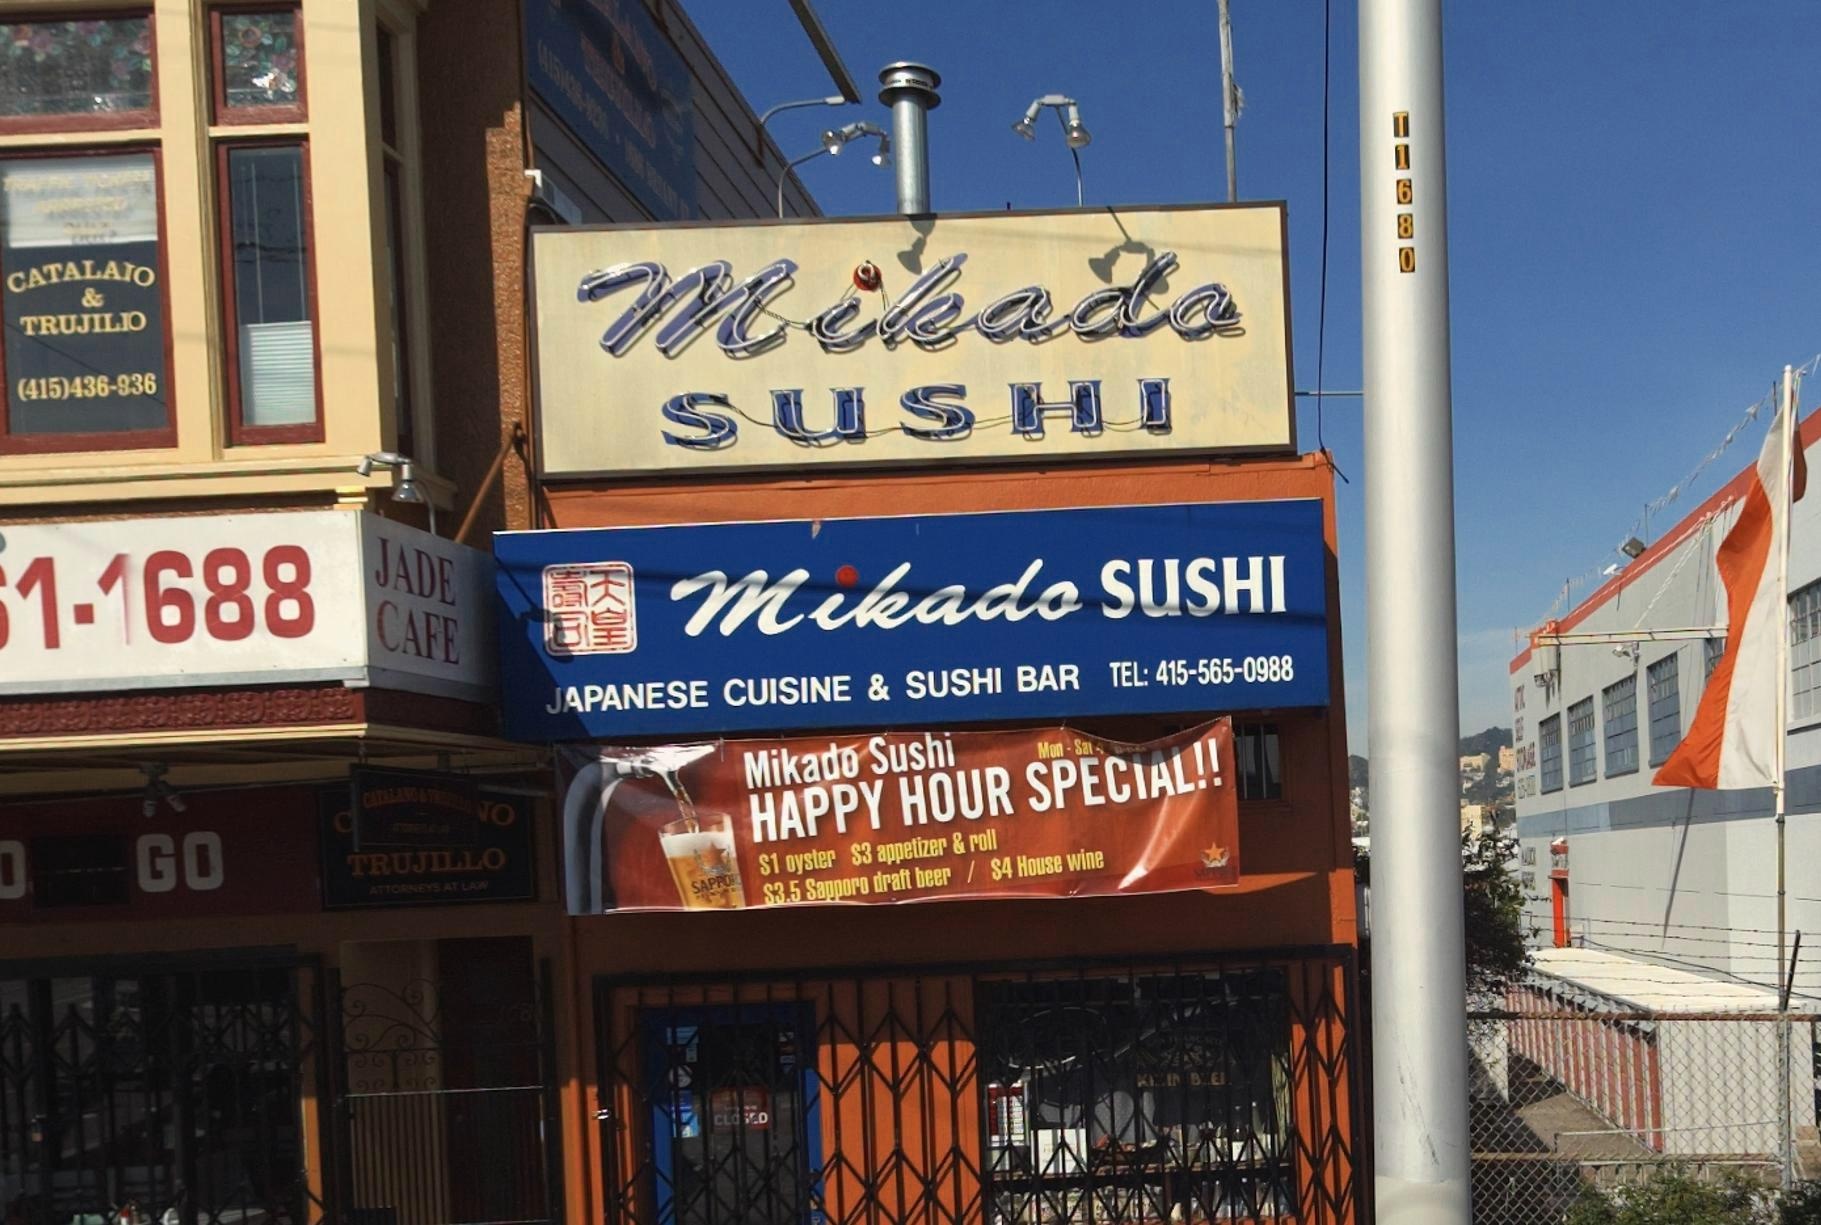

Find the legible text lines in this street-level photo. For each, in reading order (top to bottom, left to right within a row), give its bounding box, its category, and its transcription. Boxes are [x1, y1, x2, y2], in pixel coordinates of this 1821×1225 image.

[1393, 111, 1416, 273] None: T1680
[2, 258, 162, 295] BusinessName: CATALA*O
[80, 286, 106, 310] BusinessName: &
[575, 249, 1247, 354] BusinessName: Mikada
[18, 309, 148, 337] BusinessName: TRUJIL*O
[17, 371, 158, 403] None: (415)436-936
[659, 374, 1175, 447] BusinessName: SUSHI
[374, 534, 458, 608] None: JADE
[12, 542, 319, 652] None: 1-1688
[653, 553, 1288, 640] BusinessName: Mikado SUSHI
[374, 592, 461, 667] None: CAFE
[542, 653, 1295, 715] None: JAPANESE CUISINE & SUSHI BAR TEL:415-565-0988
[742, 730, 959, 790] BusinessName: Mikado Sushi
[1036, 737, 1096, 760] None: Mon-Sat 4
[360, 785, 477, 814] BusinessName: CATALANO & TRUJILLO
[488, 802, 516, 828] None: O
[749, 736, 1224, 844] None: HAPPY HOUR SPECIAL!!
[133, 828, 226, 895] None: GO
[345, 846, 507, 877] BusinessName: TRUJILLO
[757, 826, 999, 878] None: $1 oyster $3 appetizer & roll
[366, 880, 490, 894] None: ATTORNEY'S AT LAW
[1135, 1071, 1146, 1091] None: K
[1185, 1061, 1203, 1085] None: B
[1210, 1064, 1221, 1088] None: E
[713, 1112, 772, 1126] None: CLO*ED